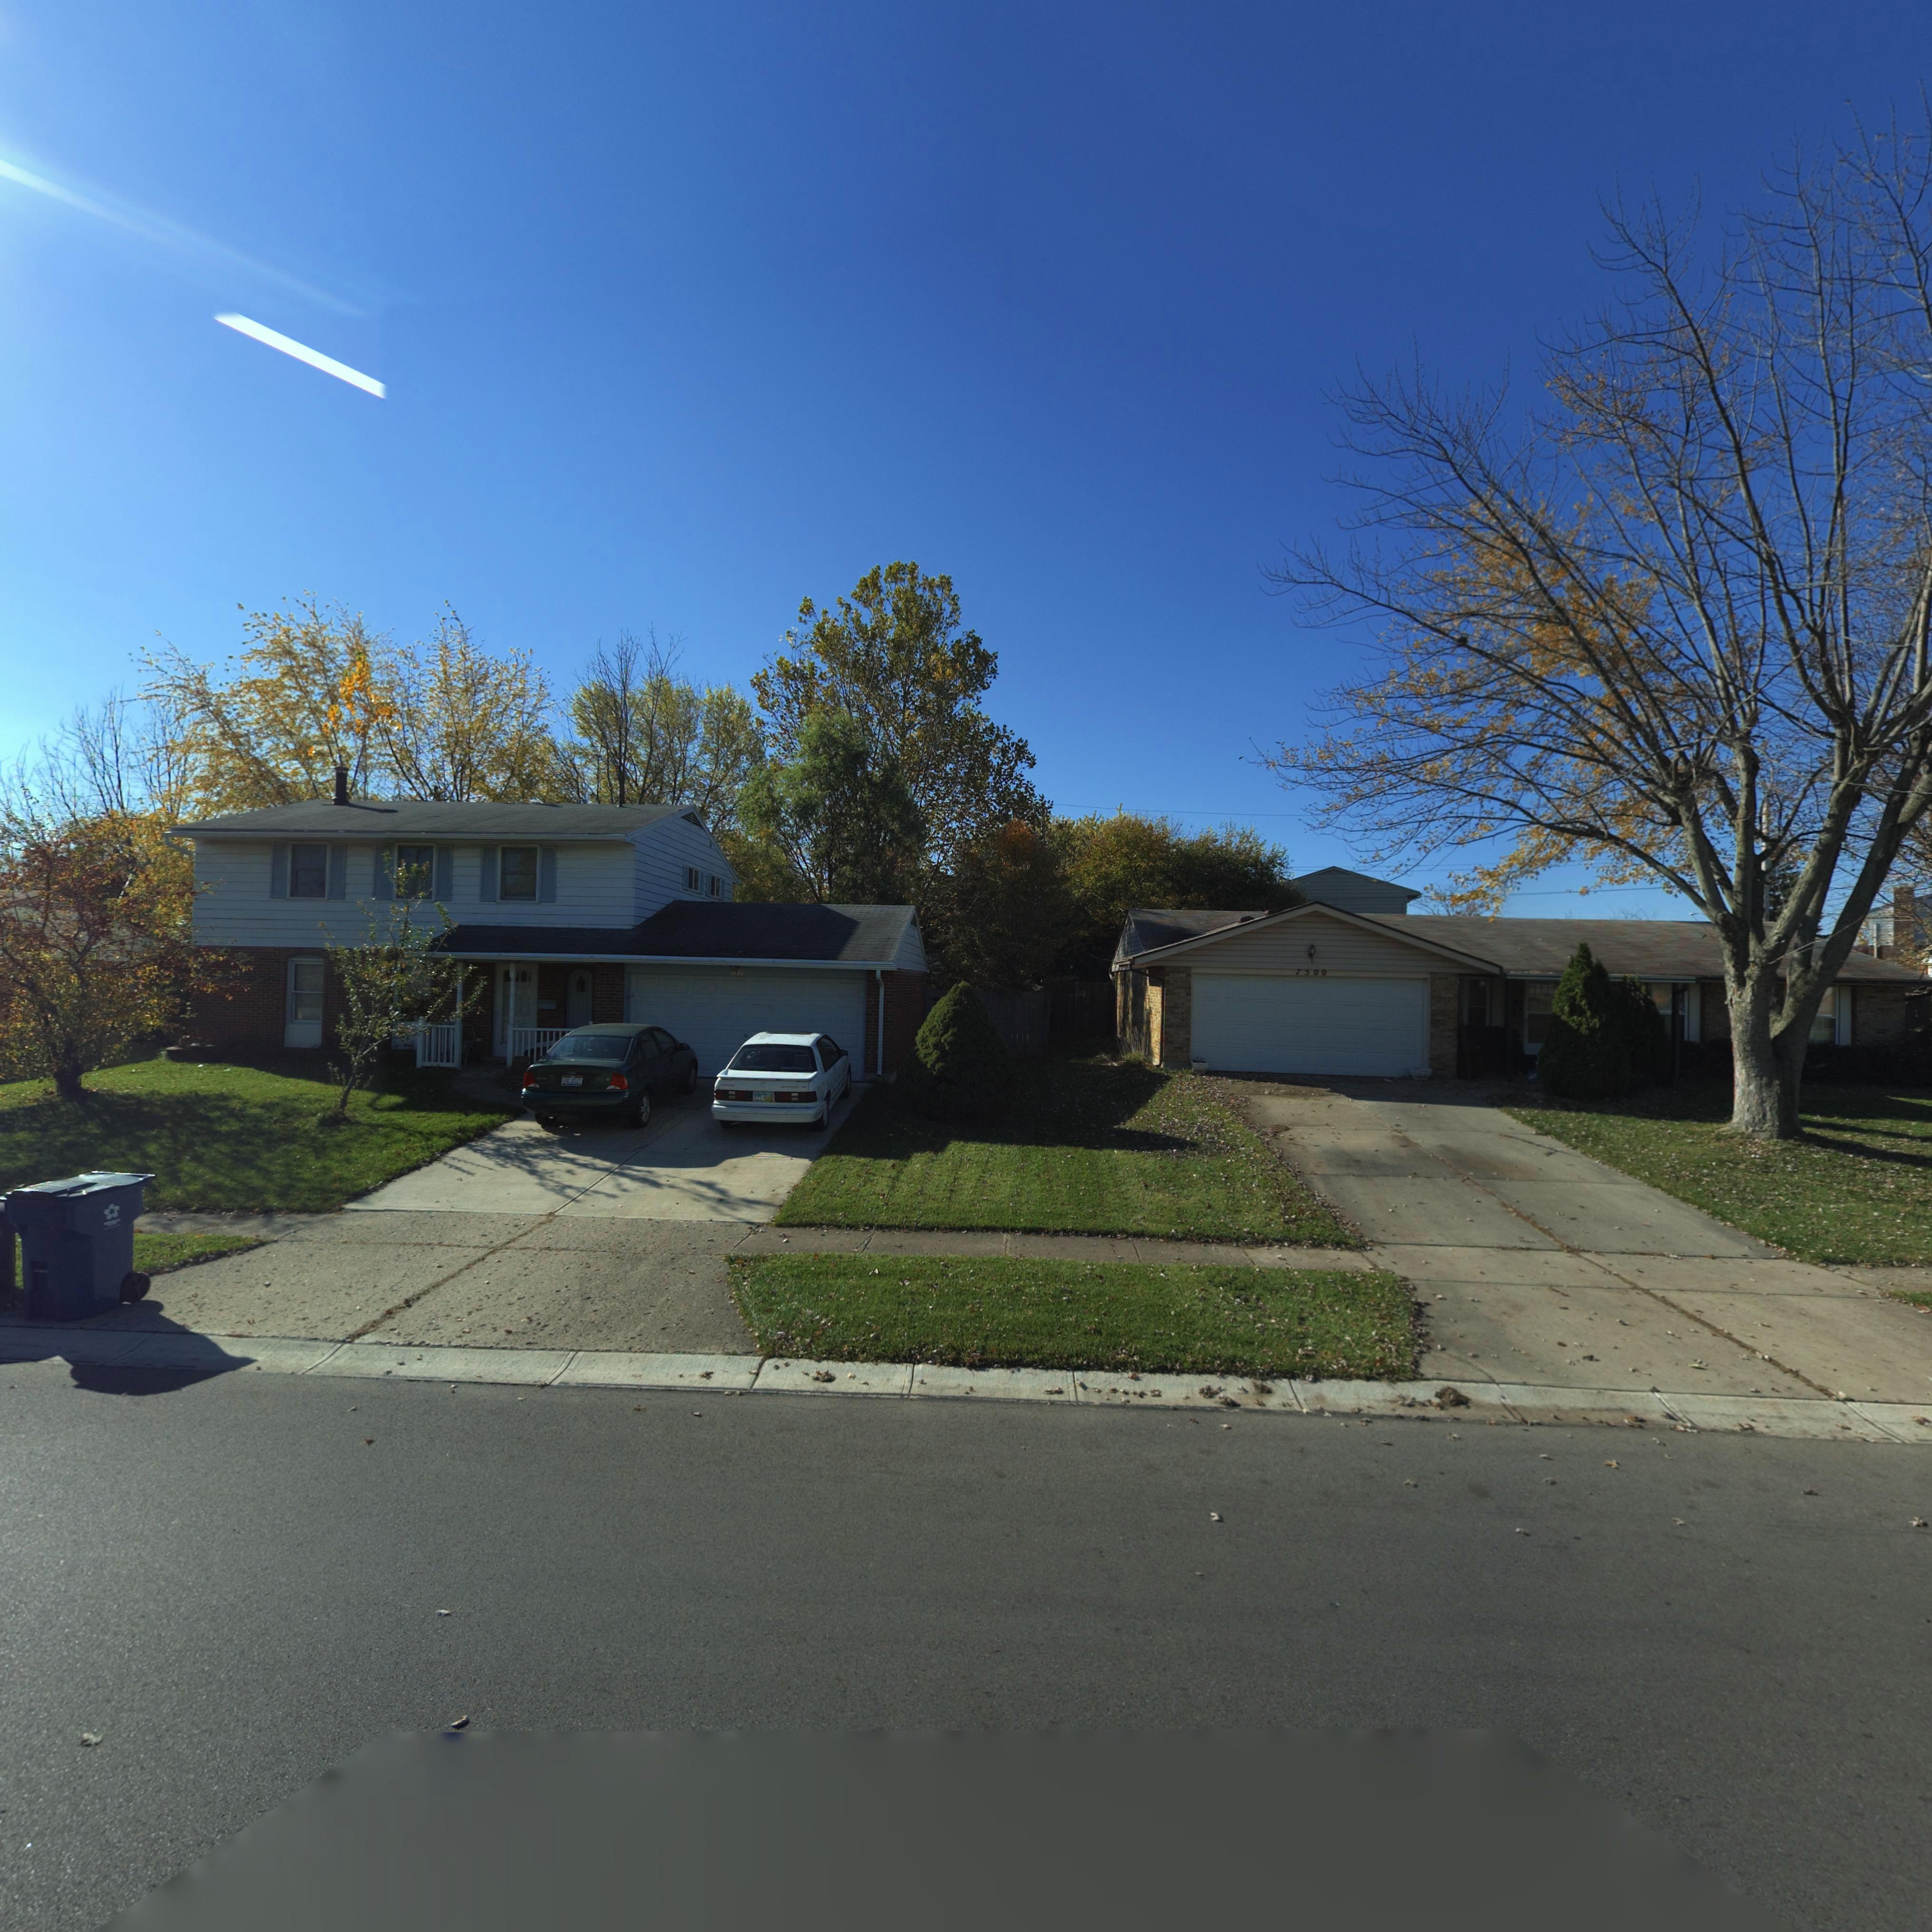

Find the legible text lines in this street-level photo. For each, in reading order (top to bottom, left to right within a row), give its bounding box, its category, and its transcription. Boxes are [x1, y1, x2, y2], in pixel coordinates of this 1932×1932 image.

[730, 969, 746, 976] StreetNumber: 7510
[1295, 968, 1328, 976] StreetNumber: 7500